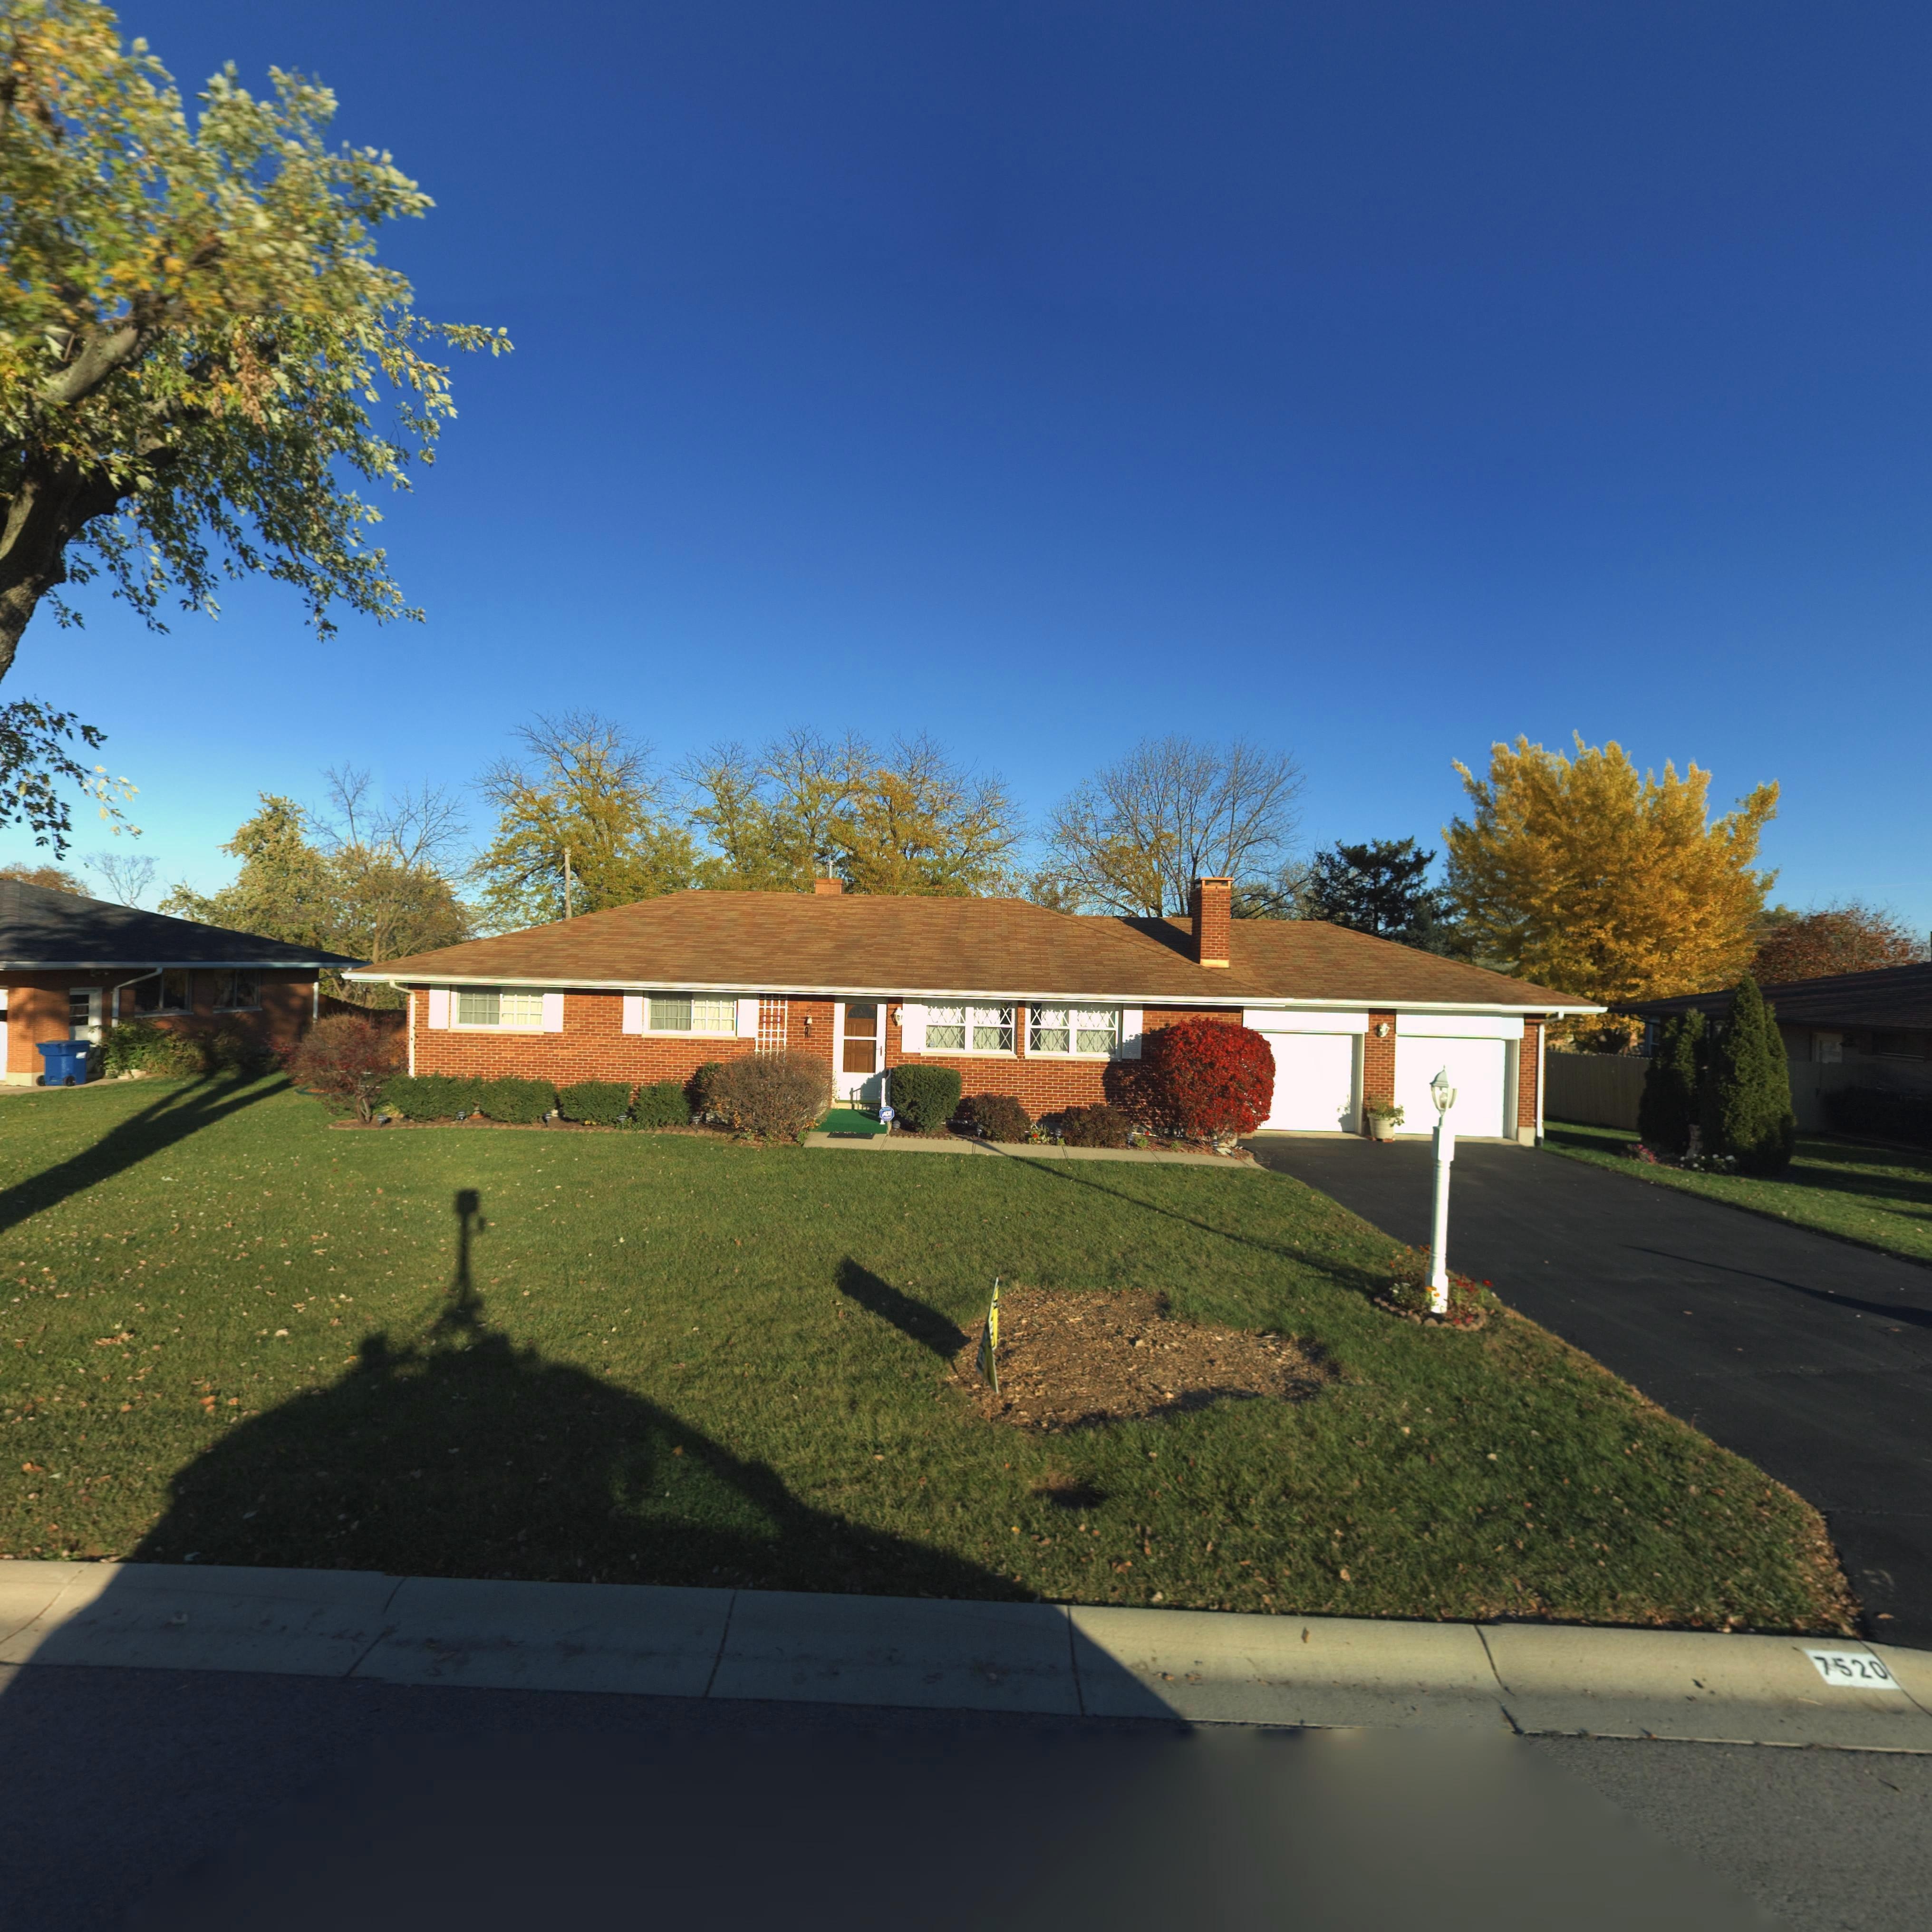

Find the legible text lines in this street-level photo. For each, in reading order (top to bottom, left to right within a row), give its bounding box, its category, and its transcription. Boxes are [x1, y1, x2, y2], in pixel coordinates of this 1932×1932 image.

[1812, 1654, 1890, 1681] StreetNumber: 7520